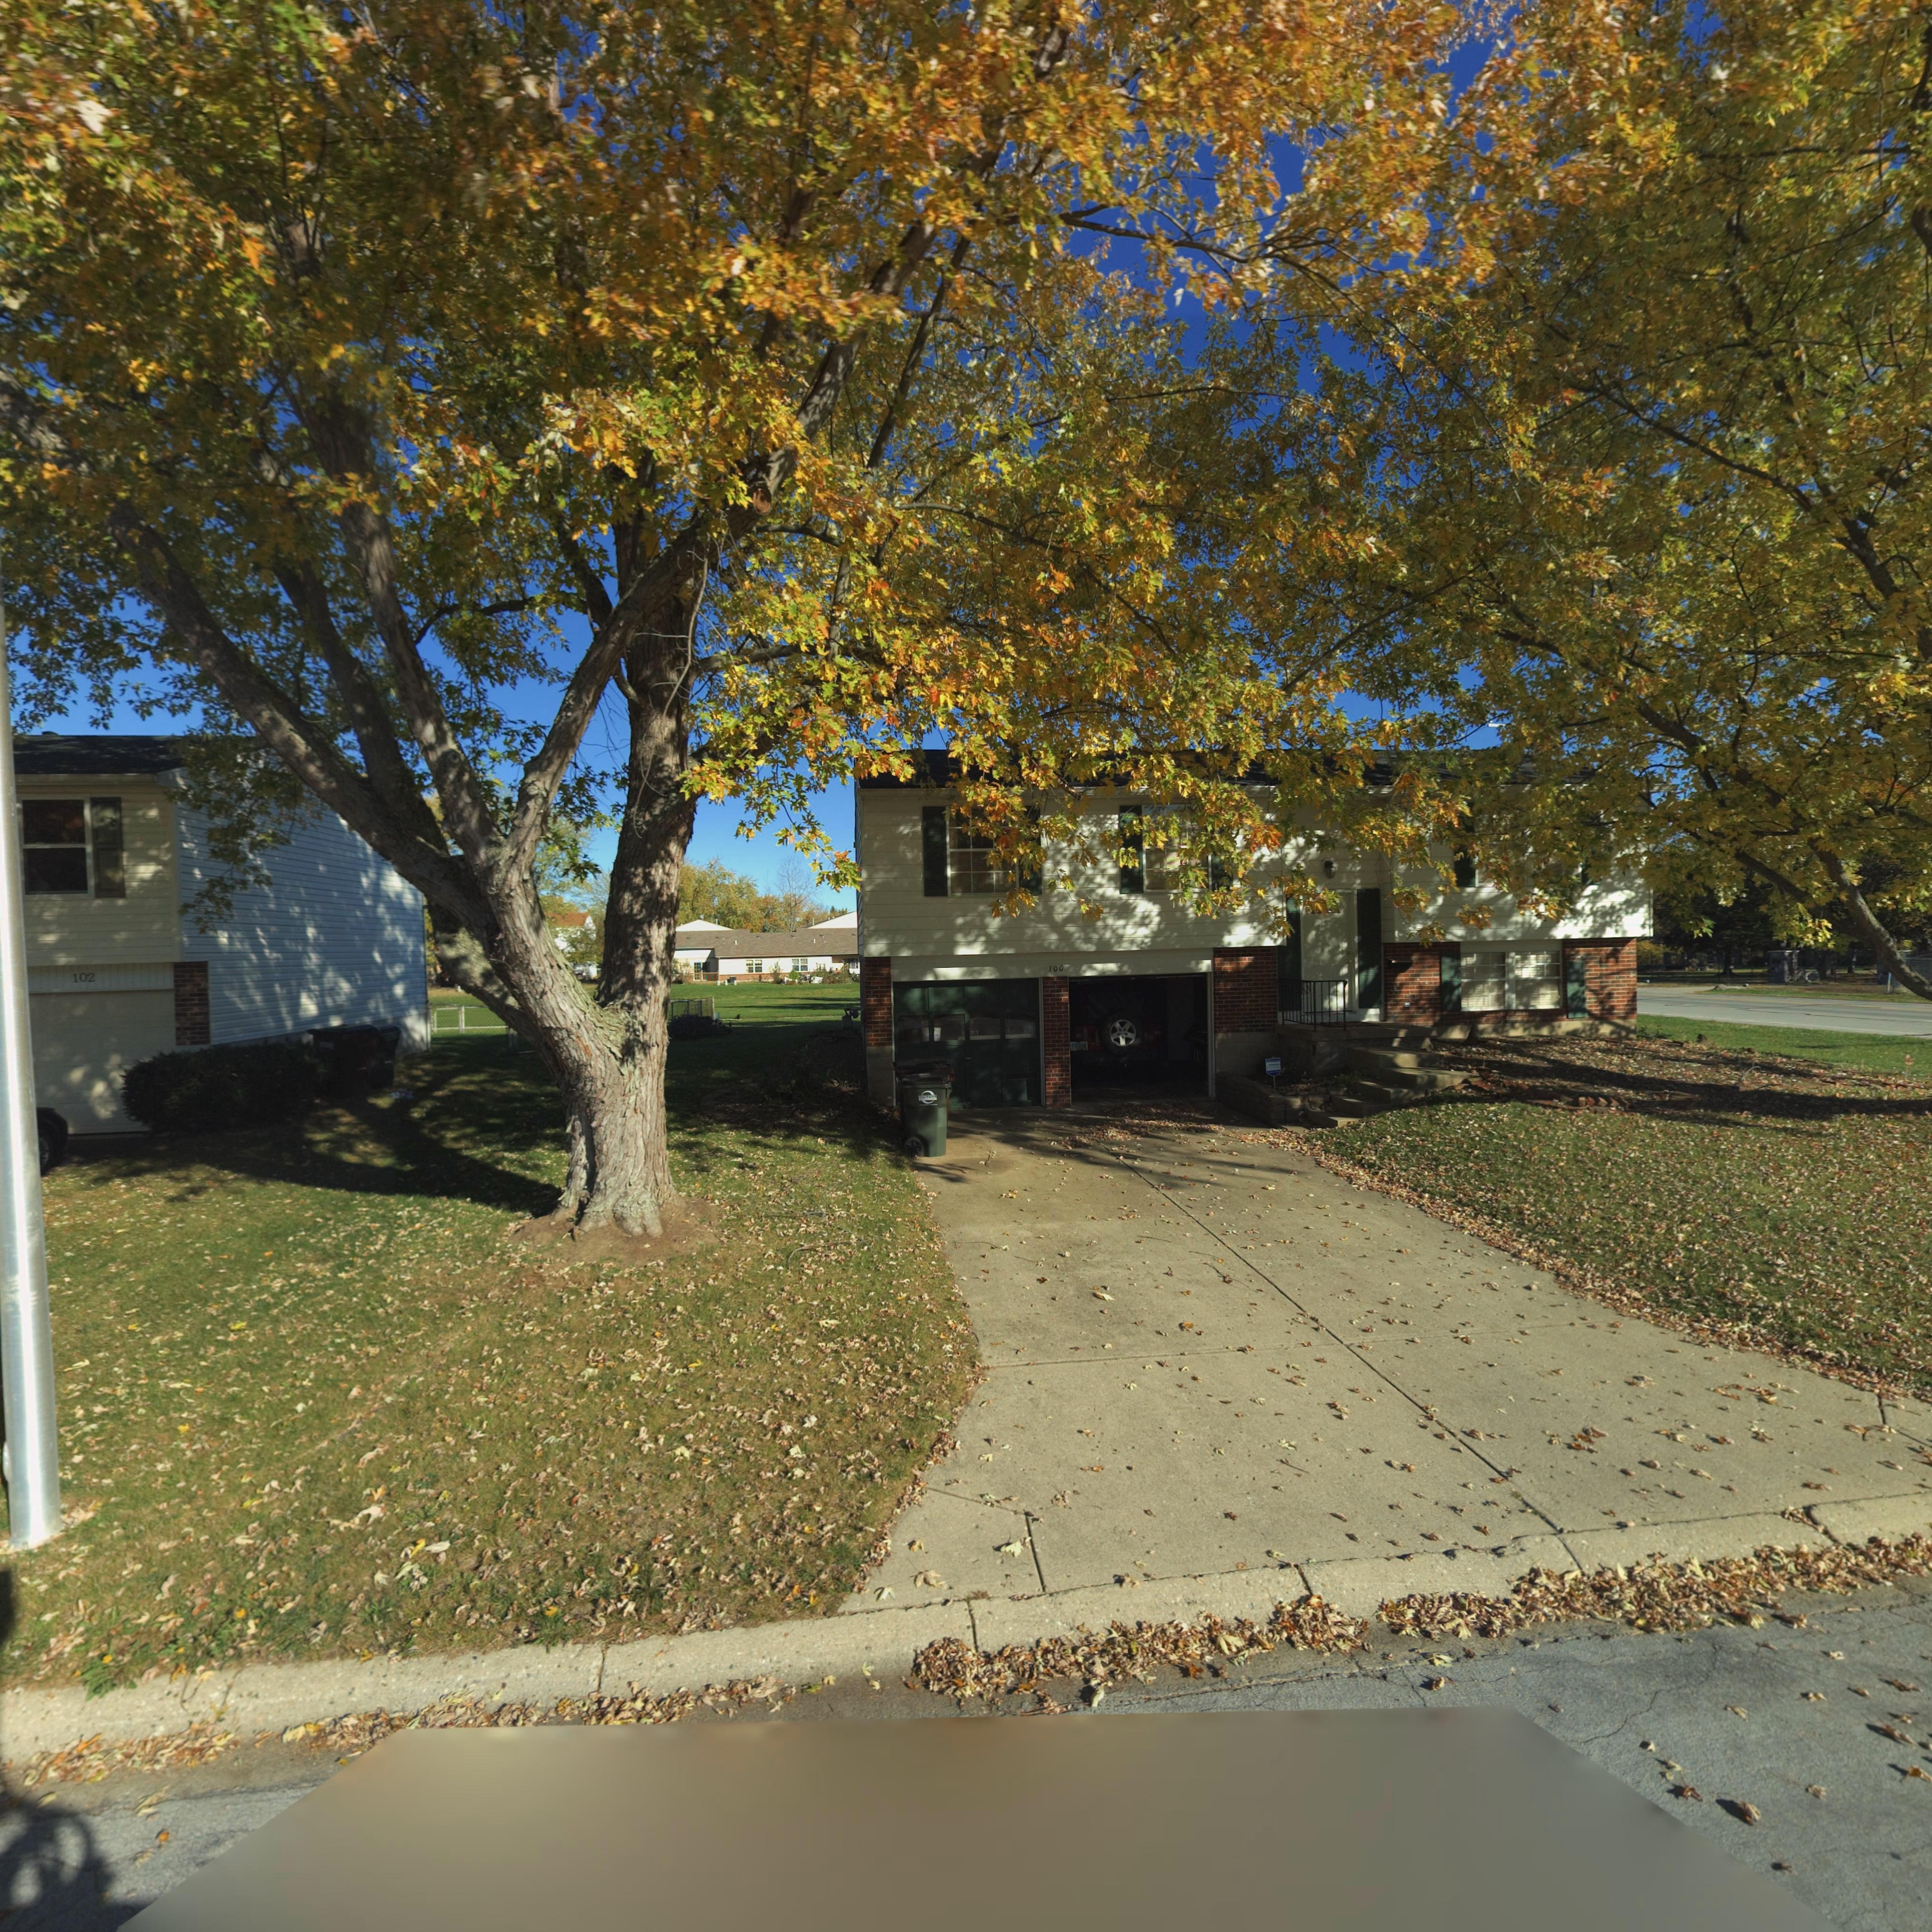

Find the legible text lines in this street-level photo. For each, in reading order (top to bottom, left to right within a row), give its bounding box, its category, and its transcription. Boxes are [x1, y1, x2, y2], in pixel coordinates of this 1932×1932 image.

[1048, 964, 1064, 972] StreetNumber: 100
[72, 972, 96, 983] StreetNumber: 102